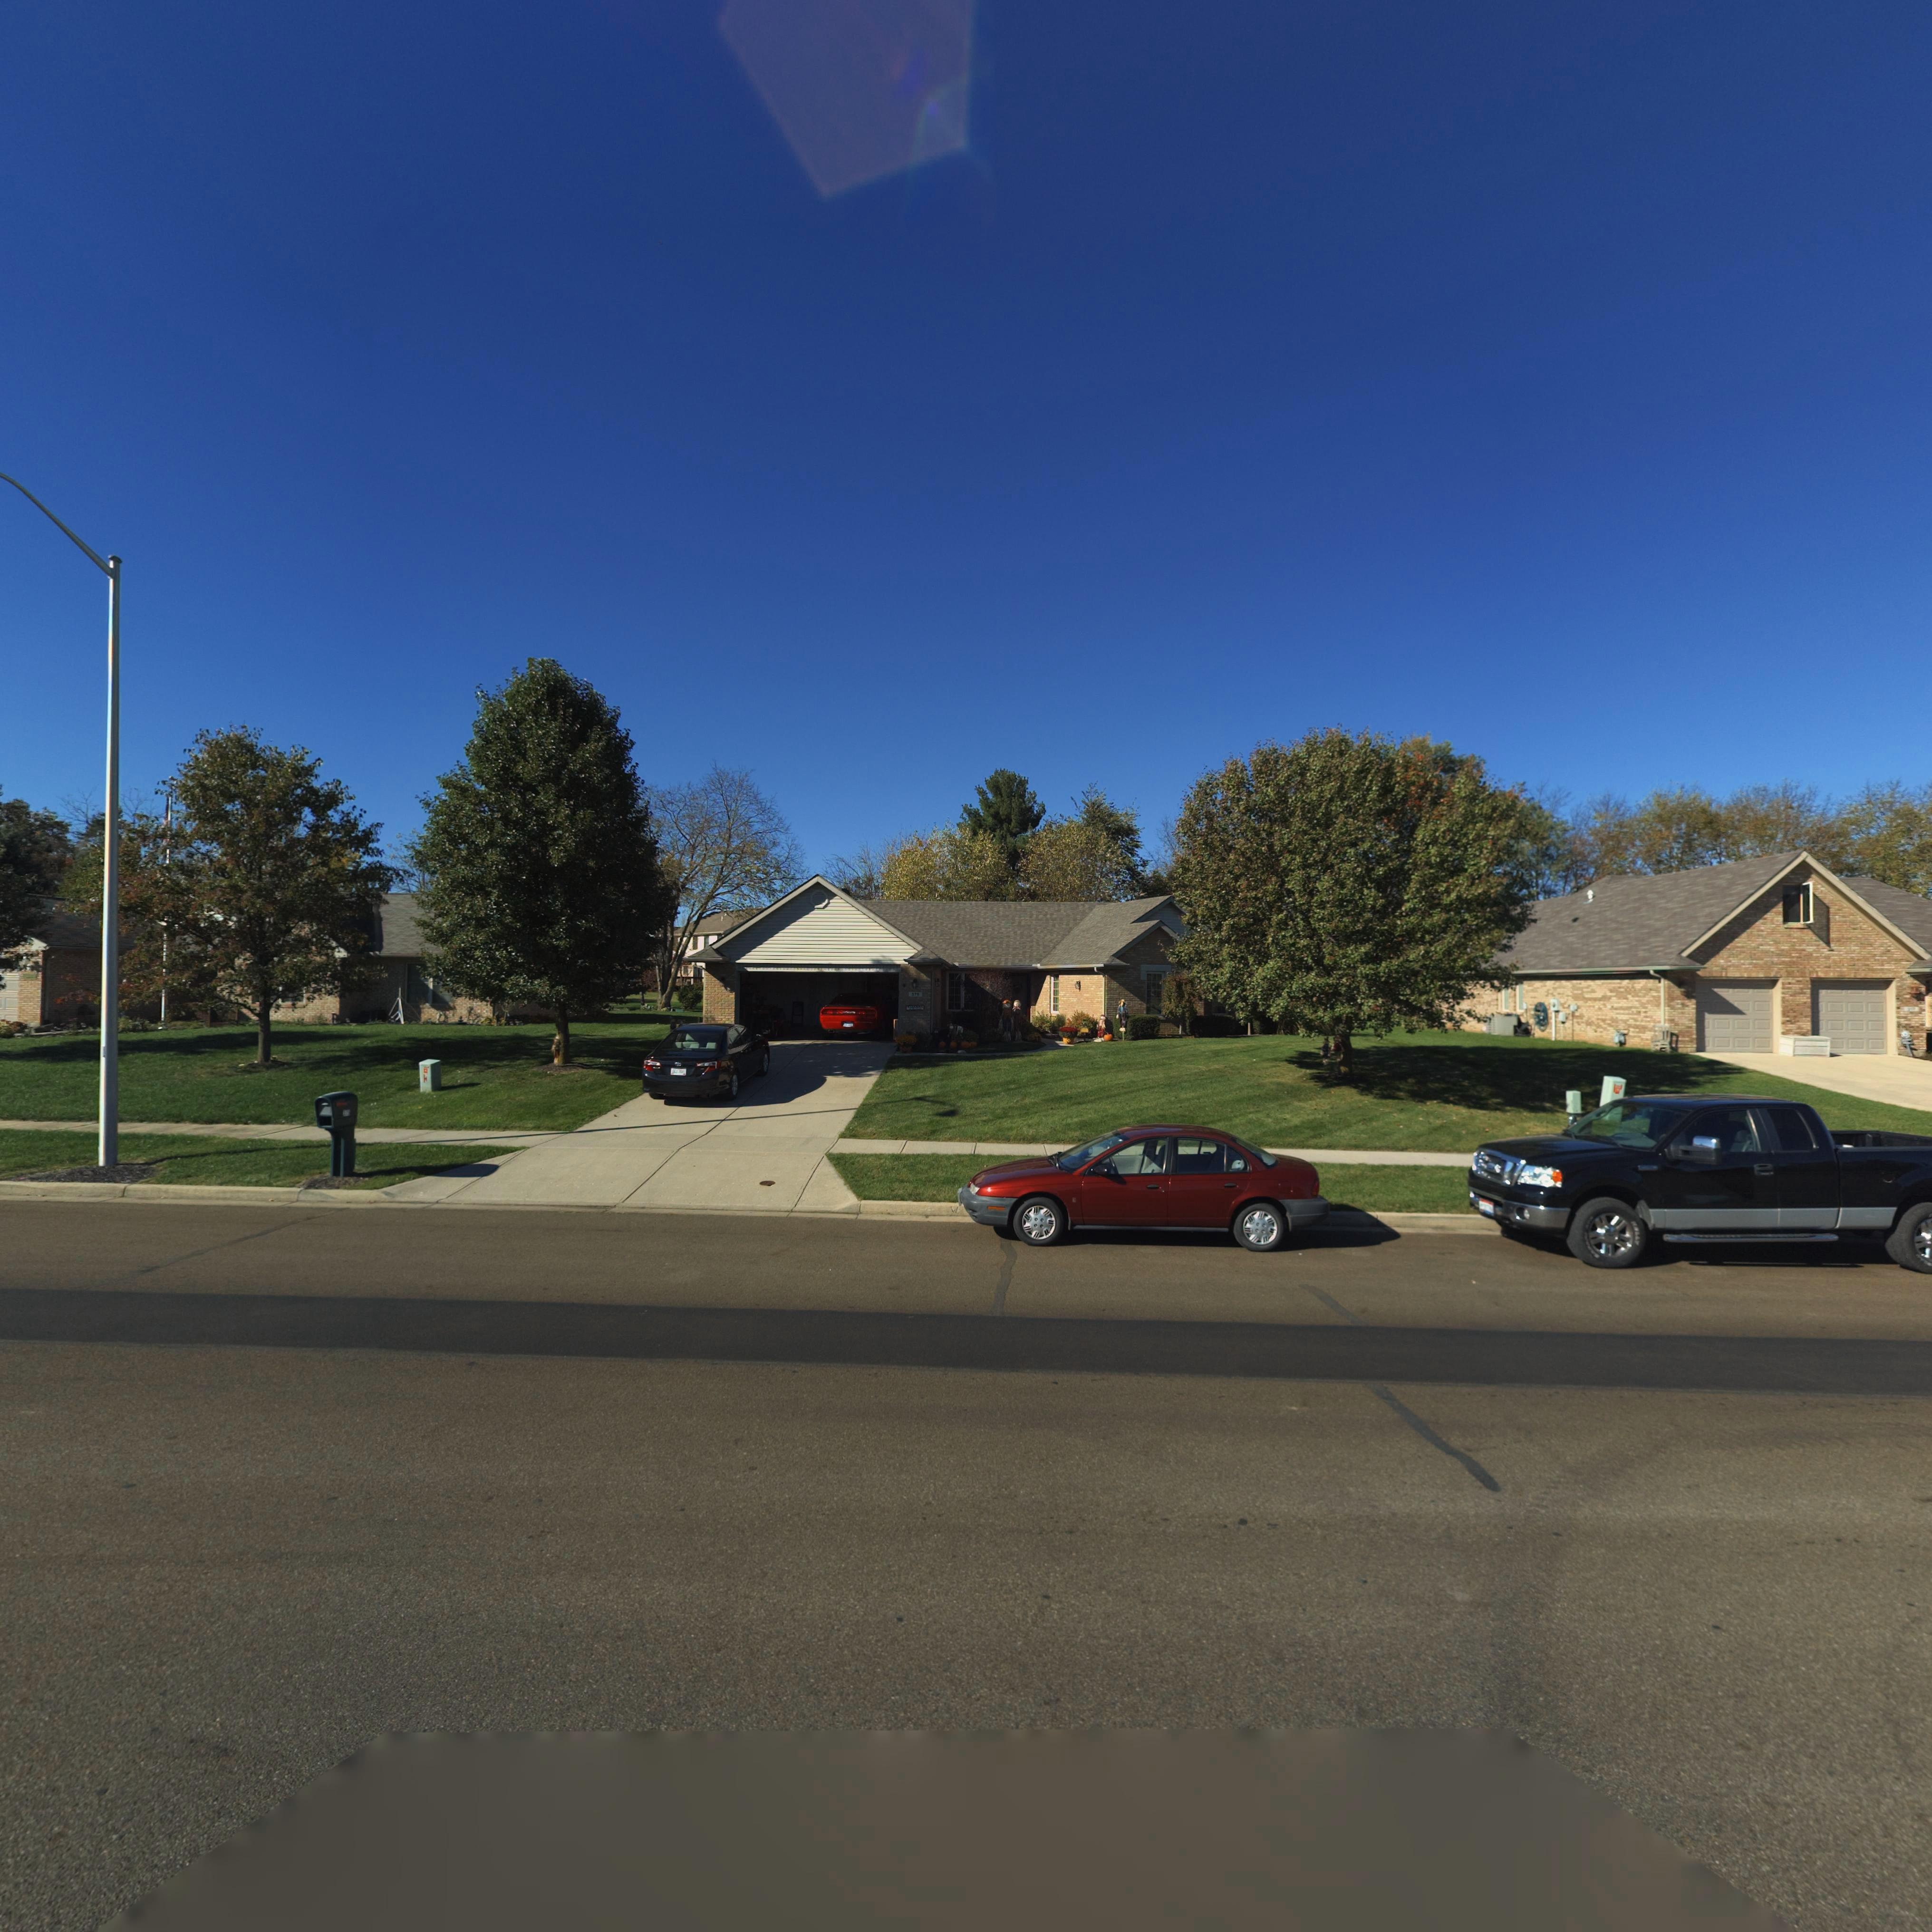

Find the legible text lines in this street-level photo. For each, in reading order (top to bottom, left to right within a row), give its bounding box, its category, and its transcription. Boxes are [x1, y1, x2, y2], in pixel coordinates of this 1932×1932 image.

[911, 992, 919, 996] StreetNumber: 37*
[342, 1110, 350, 1116] StreetNumber: *75